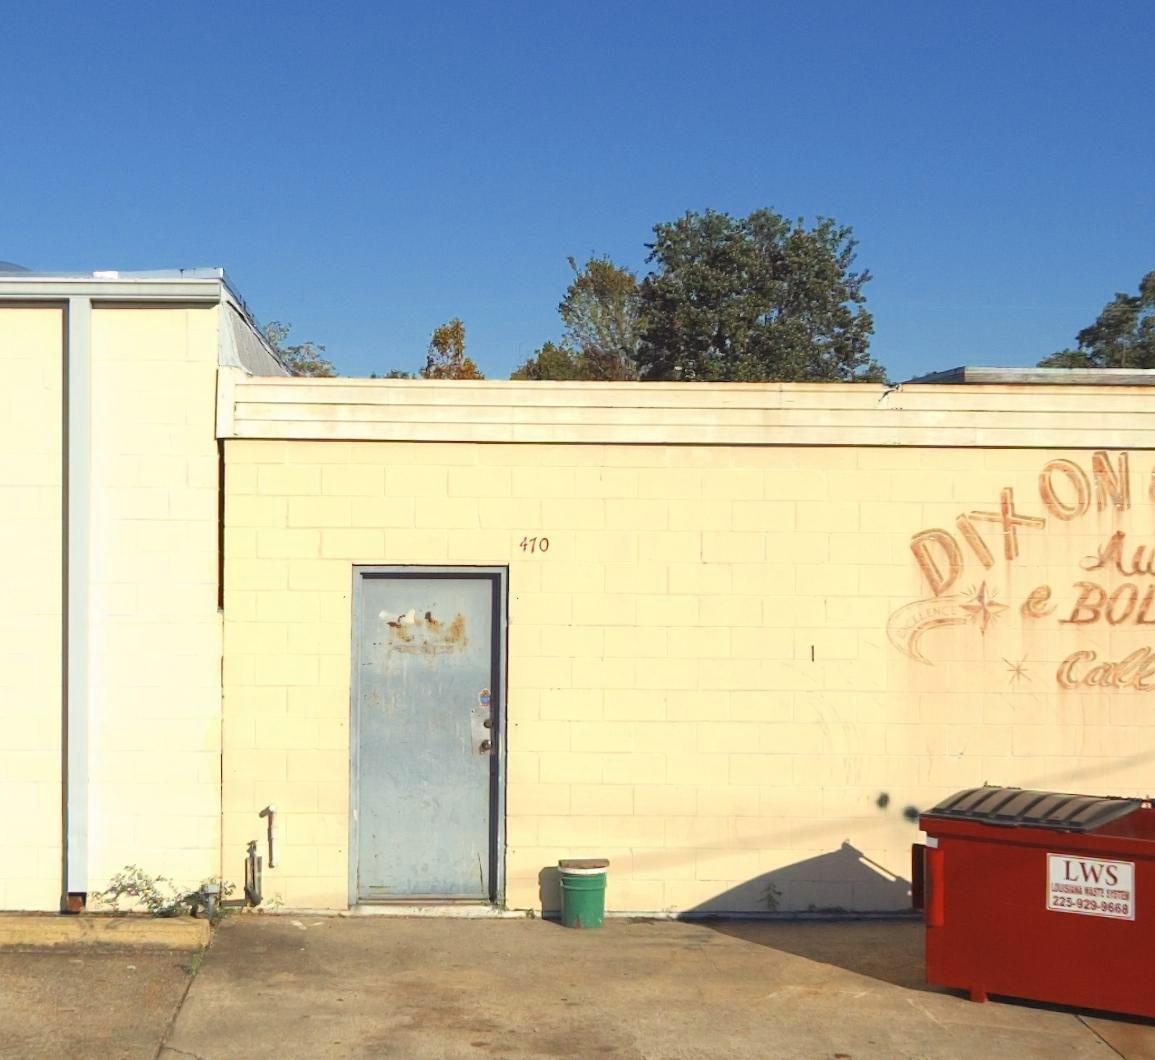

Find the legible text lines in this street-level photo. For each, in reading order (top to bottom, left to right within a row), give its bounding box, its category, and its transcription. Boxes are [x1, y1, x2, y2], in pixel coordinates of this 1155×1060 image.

[518, 534, 551, 556] StreetNumber: 410
[901, 445, 1137, 604] None: DIXON
[1074, 526, 1144, 581] None: A
[1050, 576, 1147, 632] None: BO
[1049, 643, 1154, 694] None: Cal
[1060, 856, 1121, 889] None: LWS